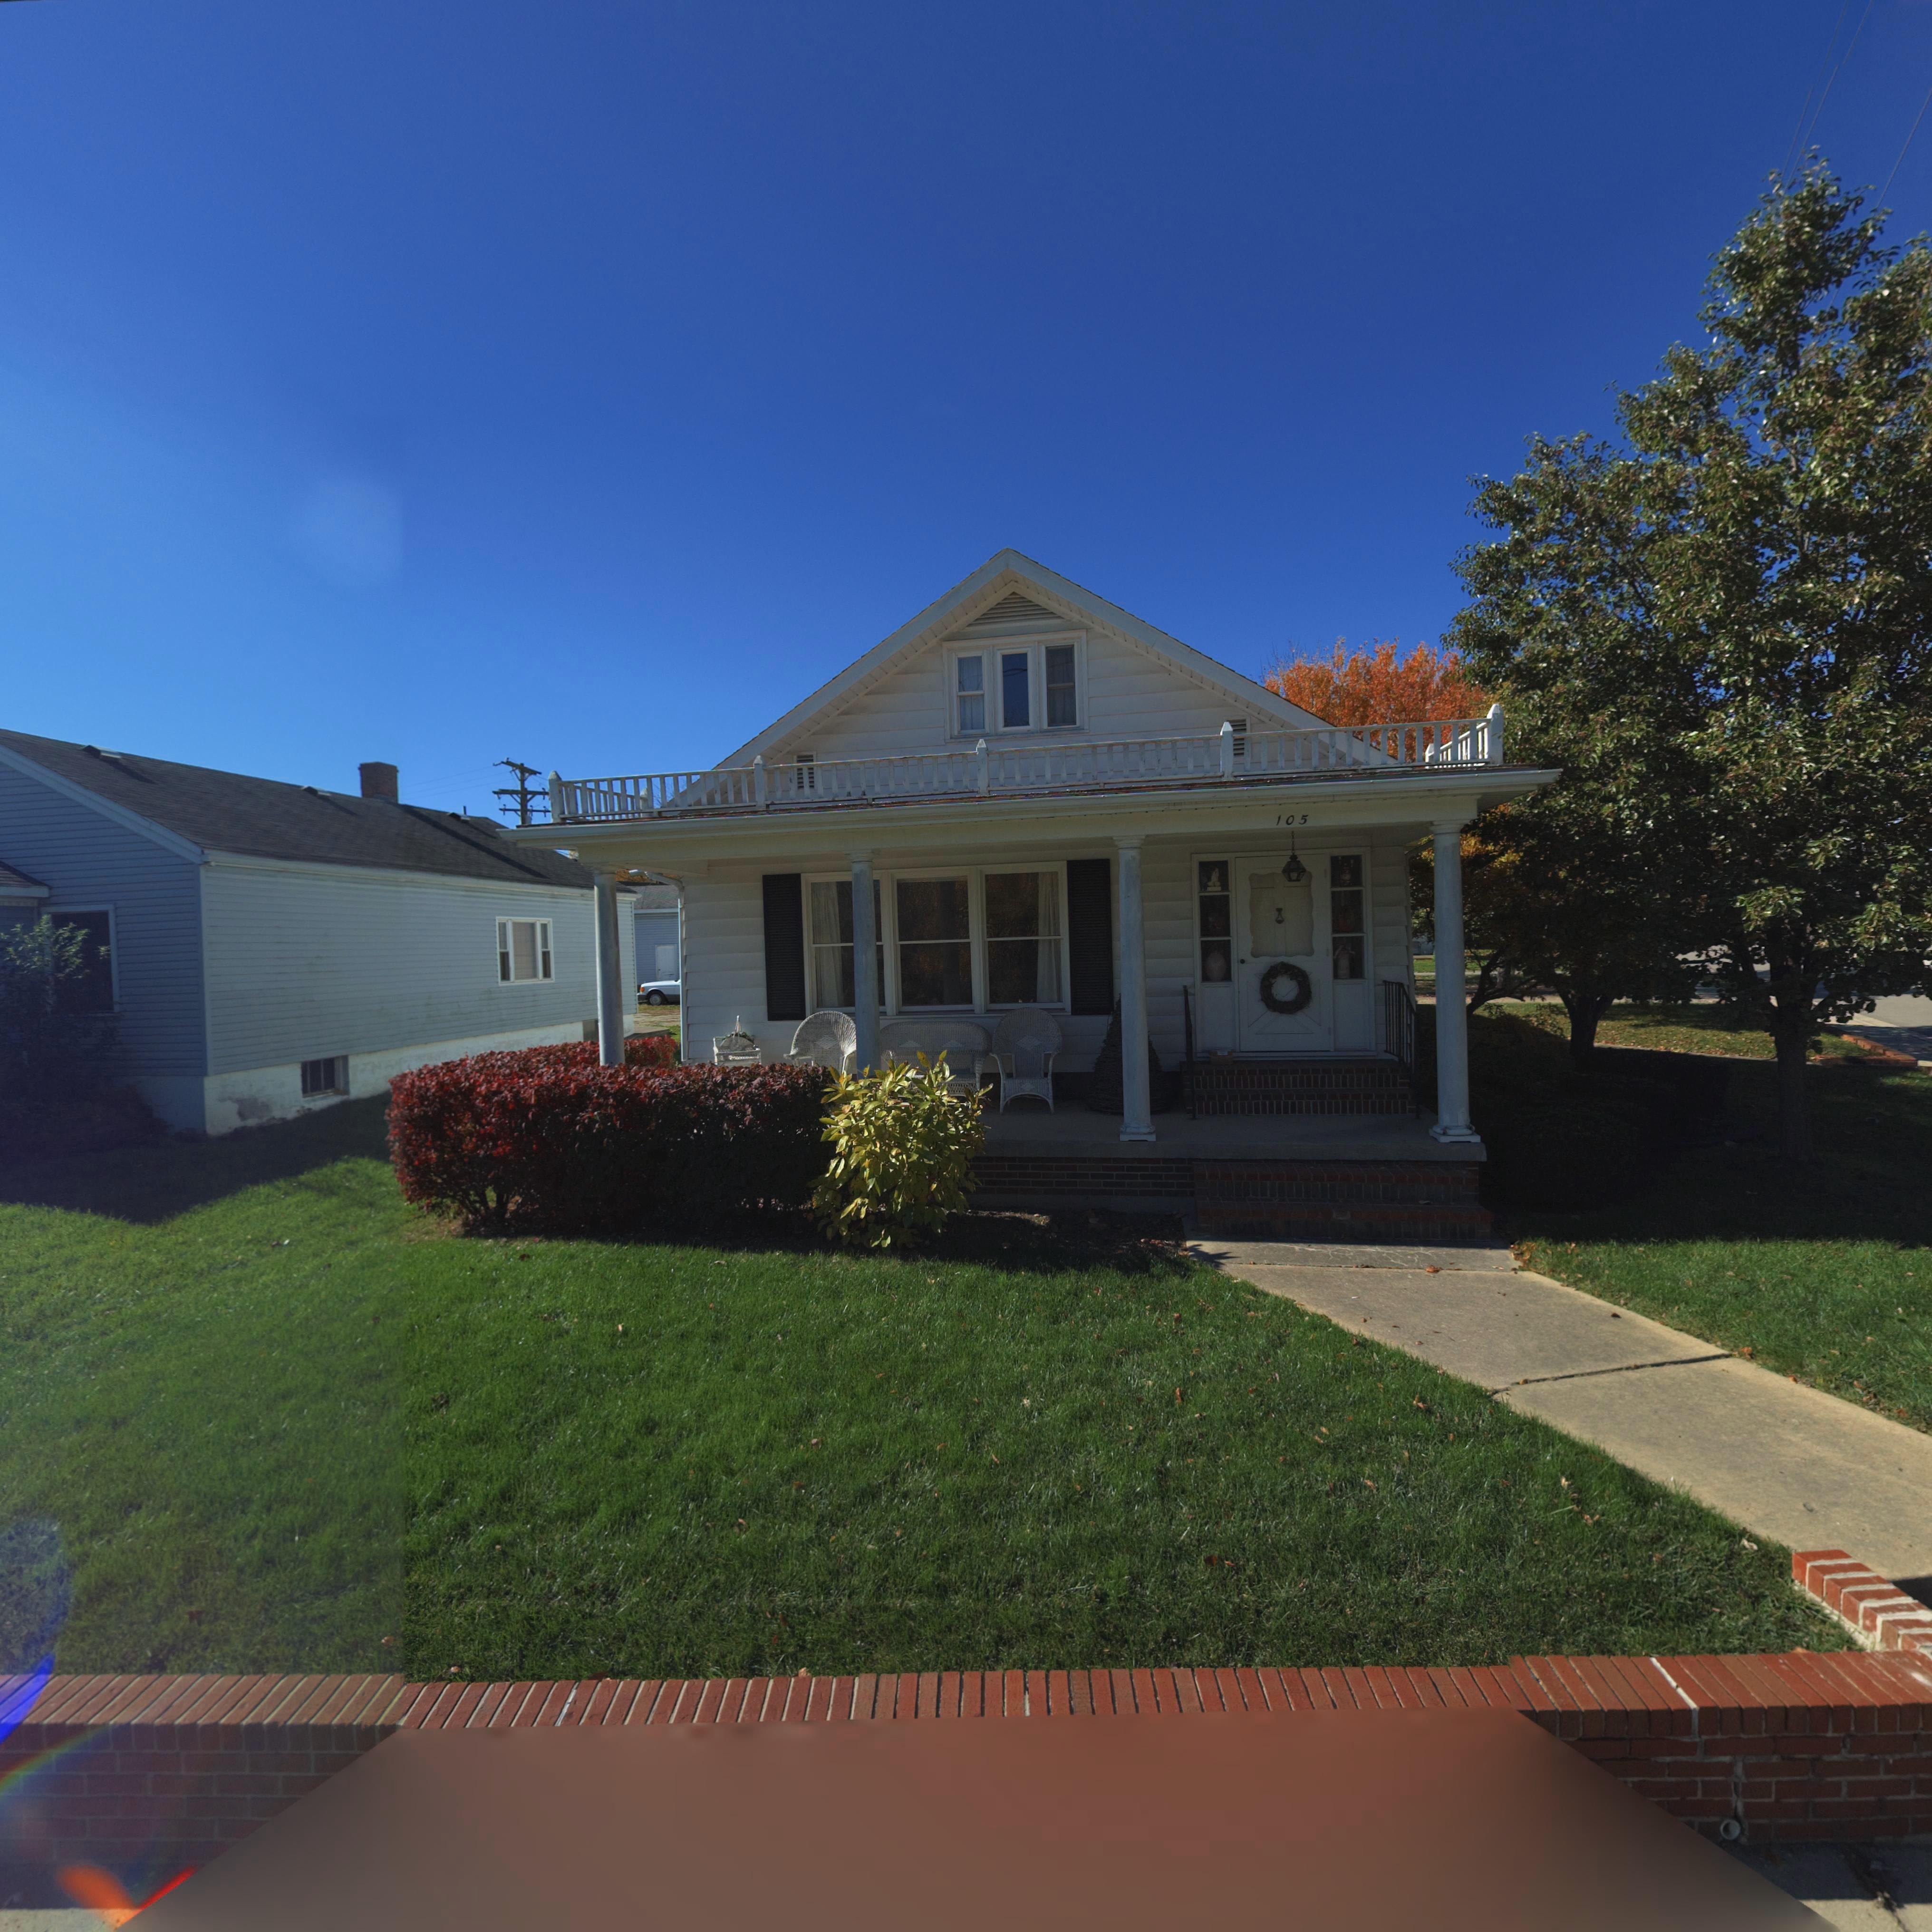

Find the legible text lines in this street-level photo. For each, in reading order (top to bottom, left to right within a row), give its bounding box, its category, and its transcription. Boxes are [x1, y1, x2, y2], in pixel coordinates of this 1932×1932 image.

[1275, 814, 1309, 826] StreetNumber: 105